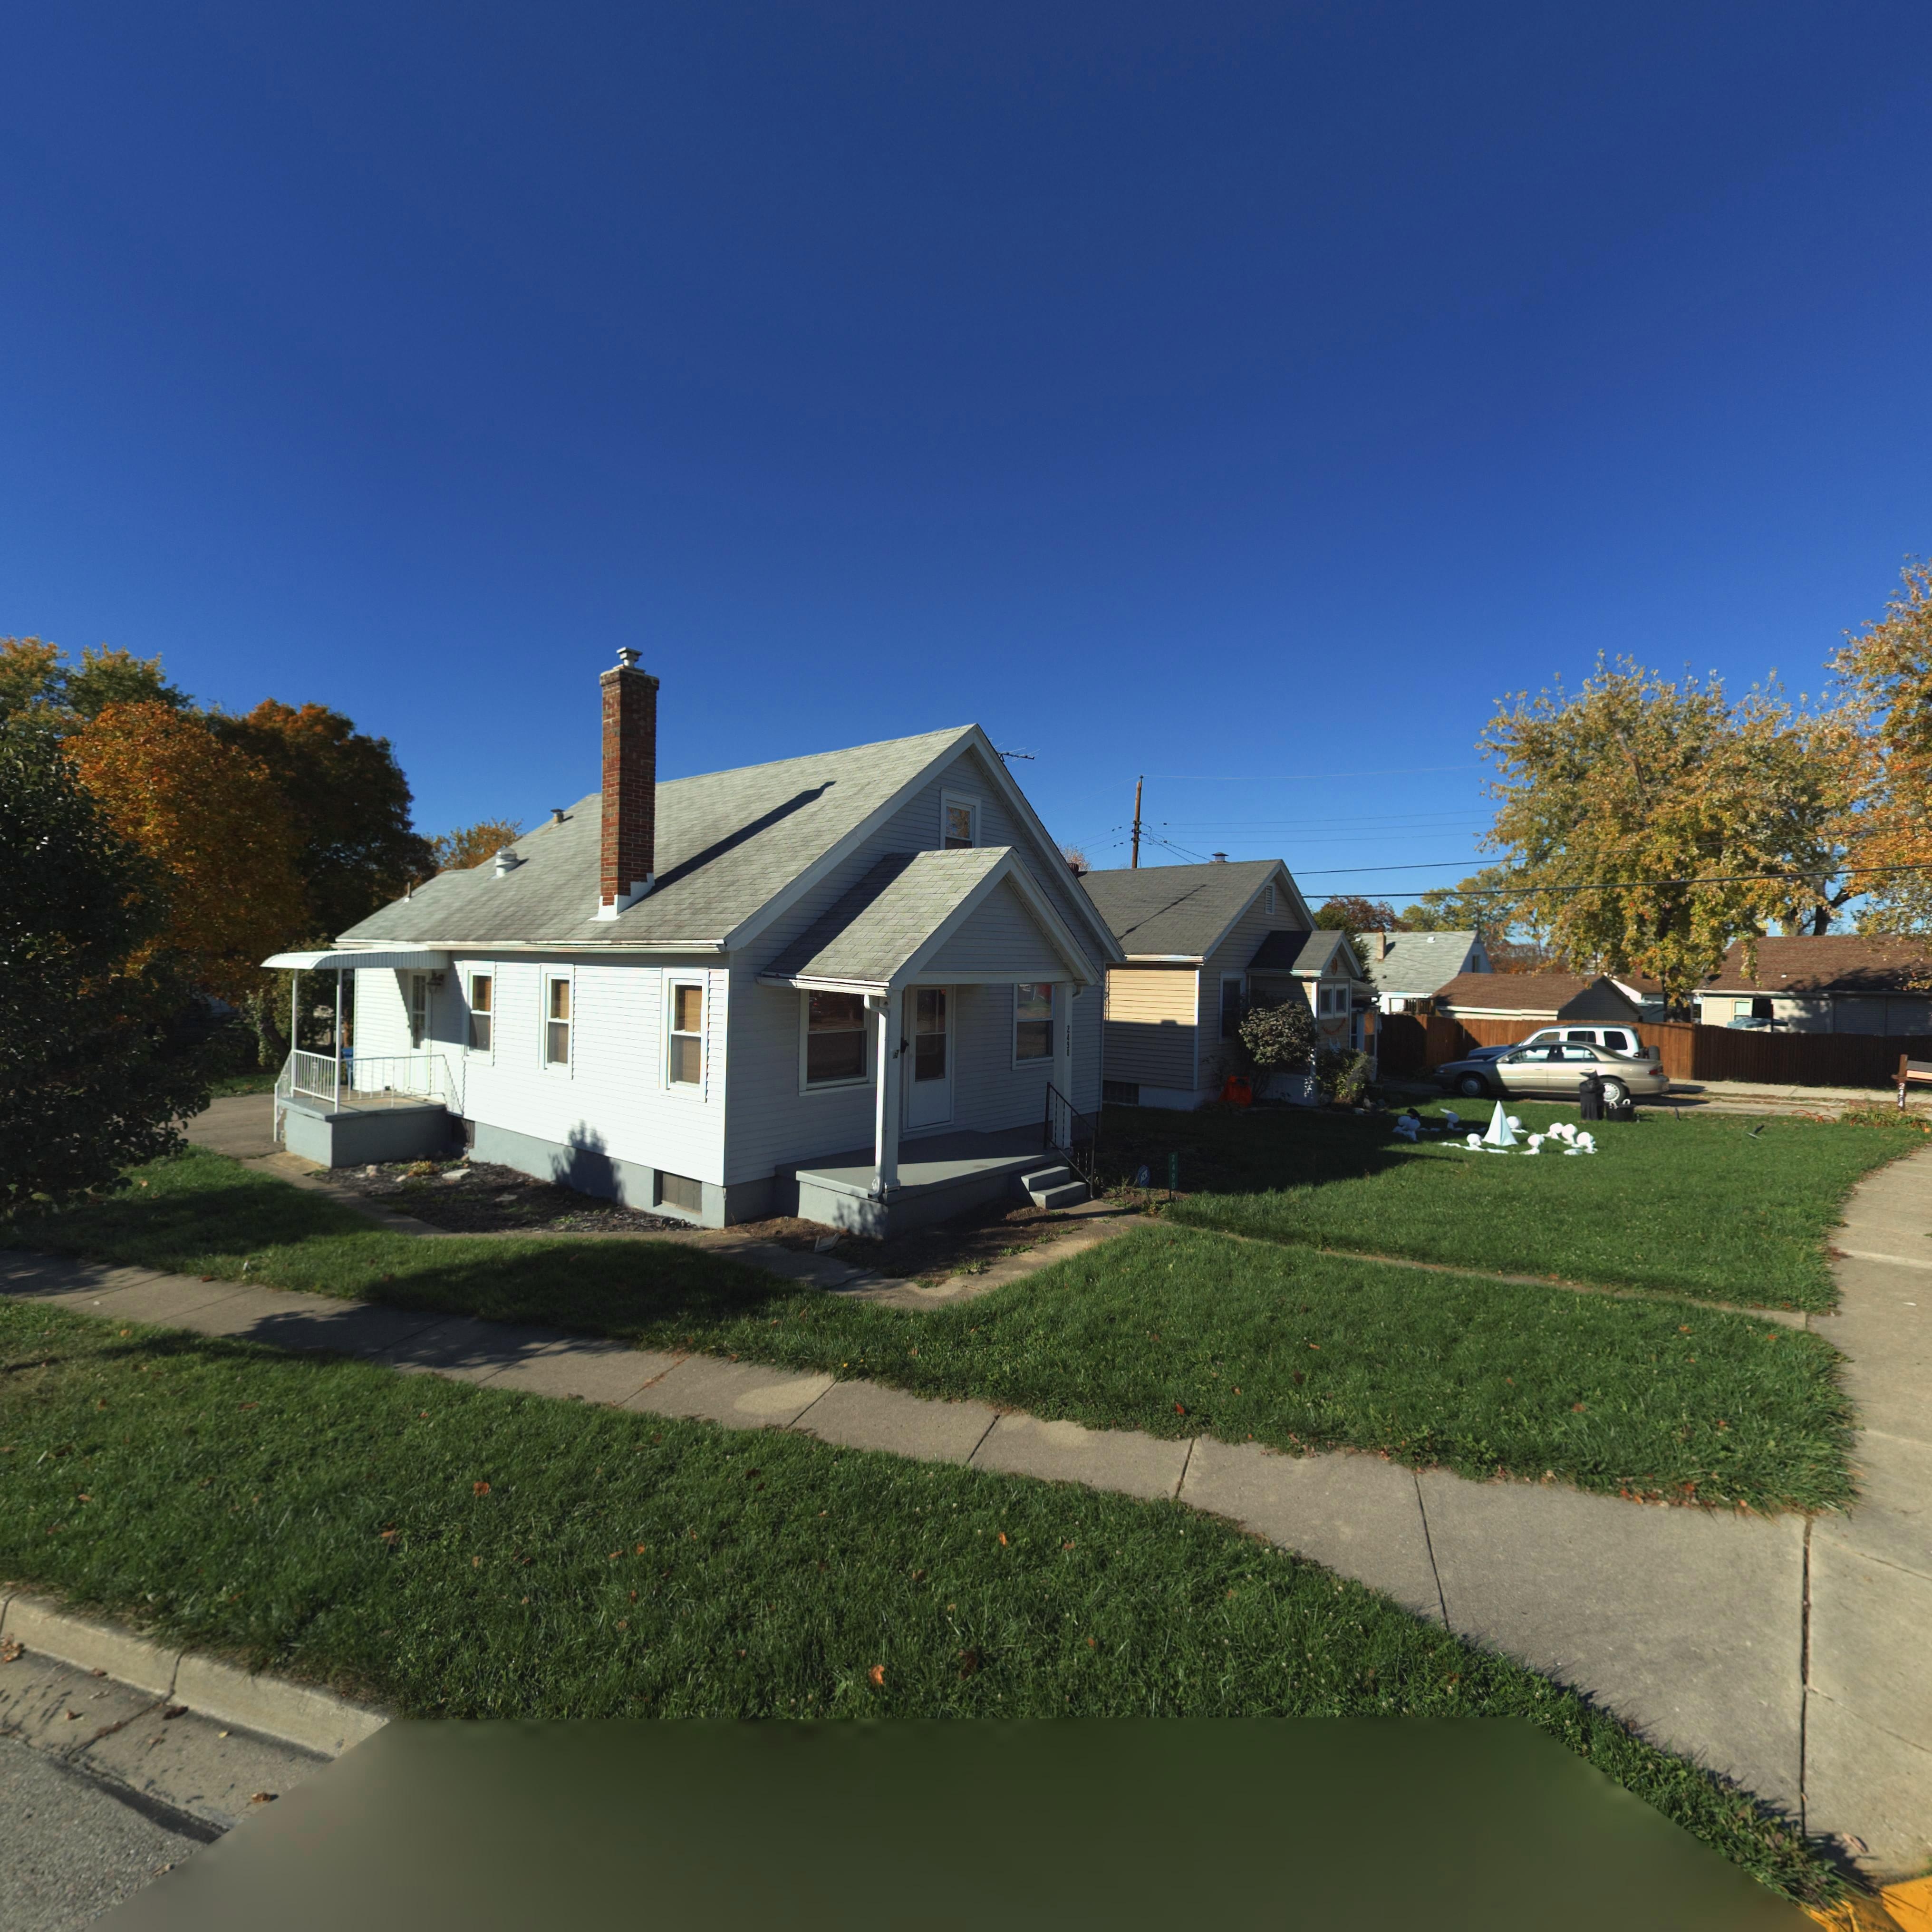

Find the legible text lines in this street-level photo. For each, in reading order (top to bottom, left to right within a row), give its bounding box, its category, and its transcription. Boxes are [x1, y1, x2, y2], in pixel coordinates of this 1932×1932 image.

[1066, 1024, 1071, 1058] StreetNumber: 2490
[1170, 1153, 1176, 1190] StreetNumber: 2490